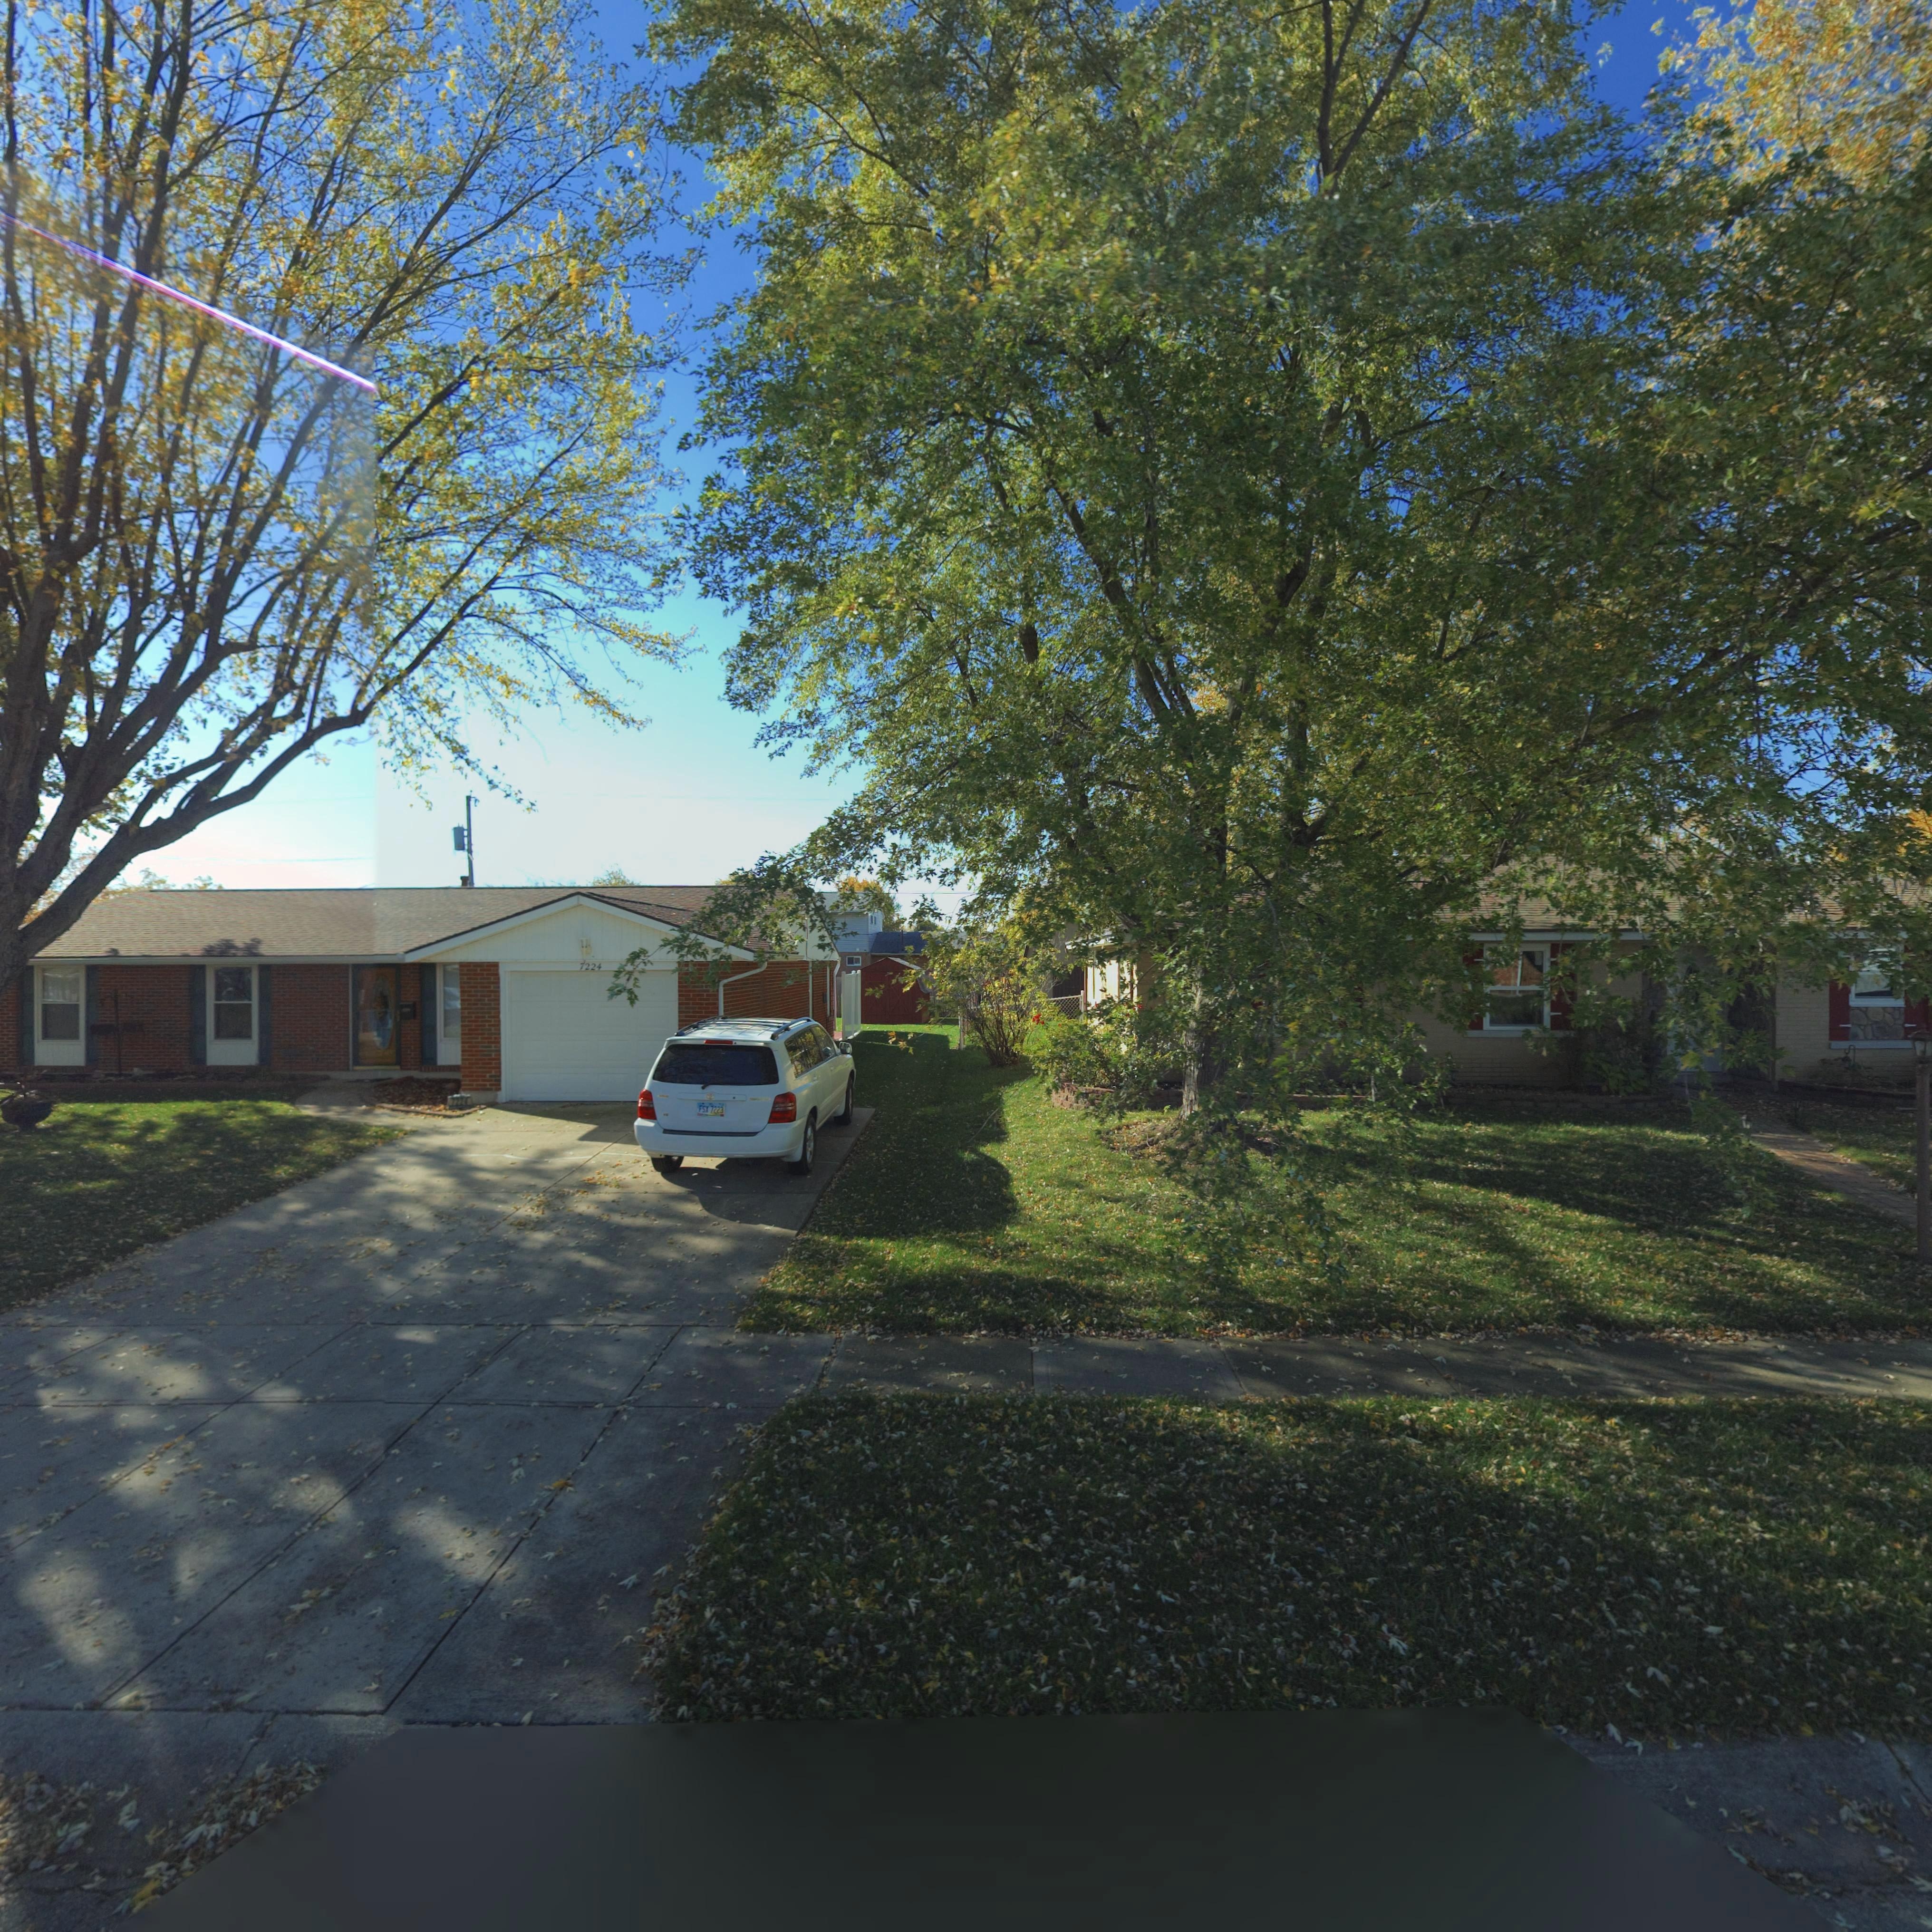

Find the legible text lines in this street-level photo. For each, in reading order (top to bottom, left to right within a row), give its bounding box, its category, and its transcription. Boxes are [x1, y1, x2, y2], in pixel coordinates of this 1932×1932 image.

[579, 962, 603, 971] StreetNumber: 7224
[451, 1096, 470, 1106] StreetNumber: 7224